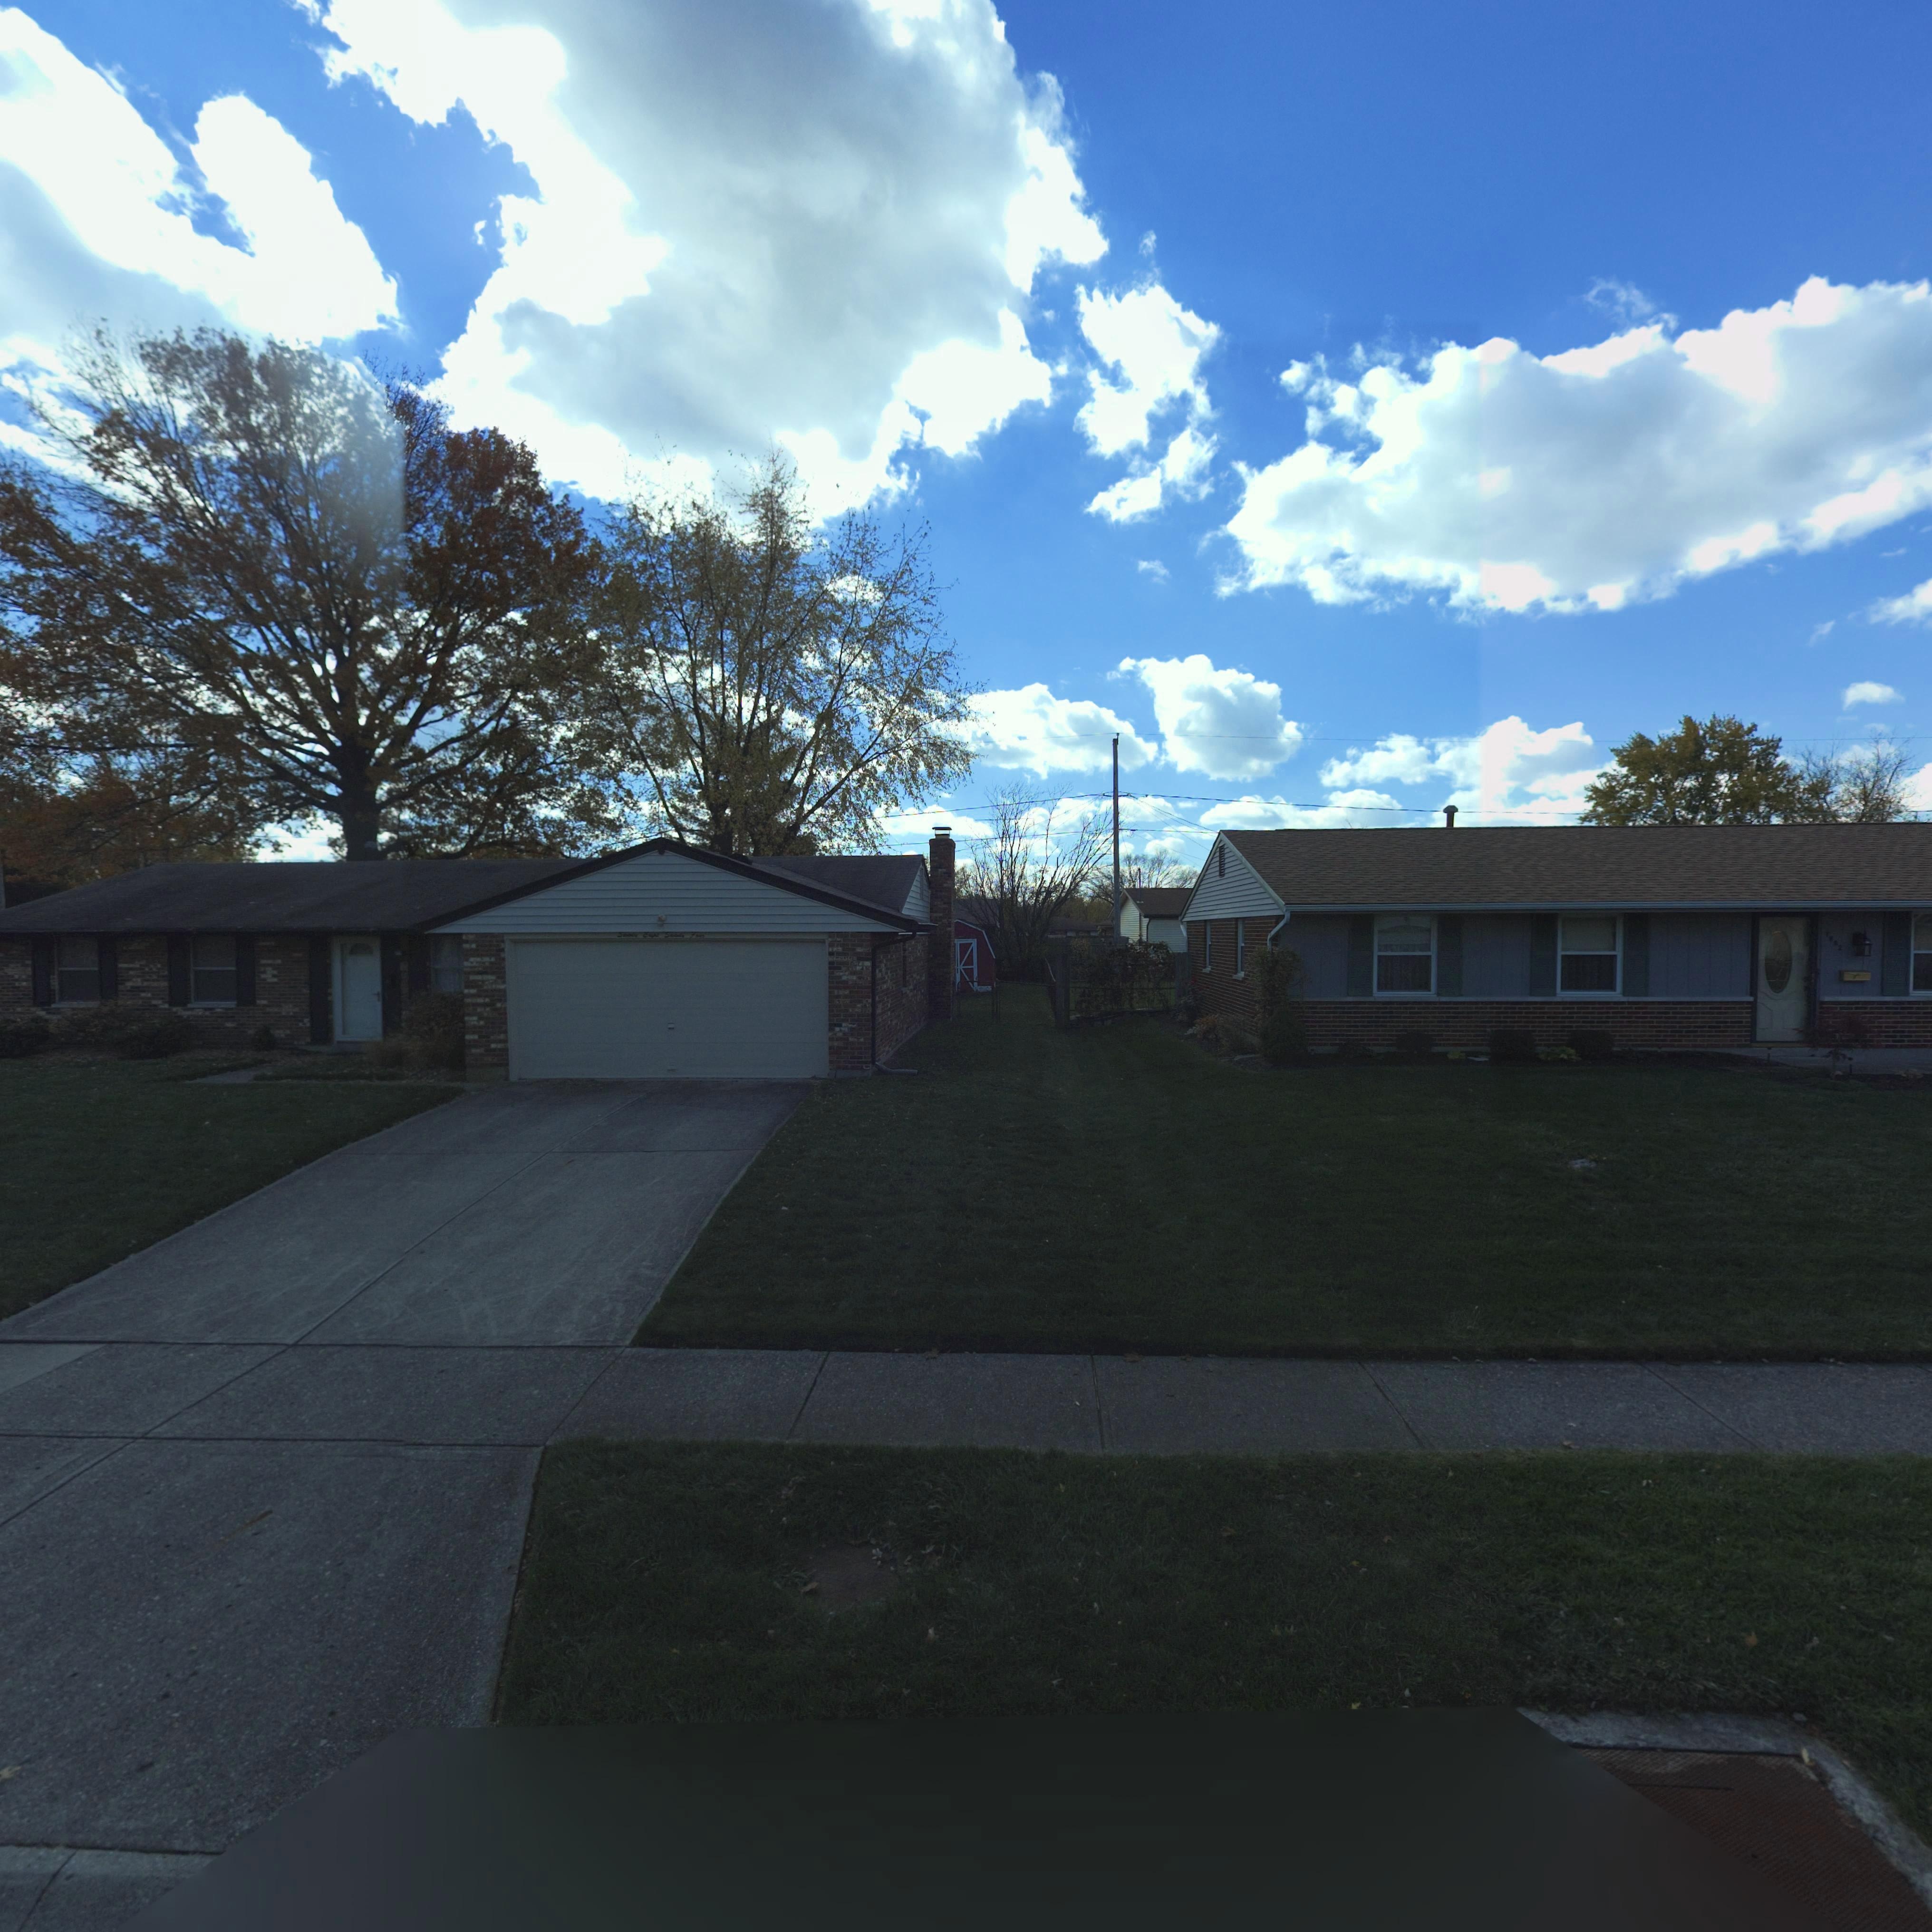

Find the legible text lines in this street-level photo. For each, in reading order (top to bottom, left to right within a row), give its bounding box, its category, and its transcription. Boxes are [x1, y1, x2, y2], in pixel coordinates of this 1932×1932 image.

[617, 931, 705, 938] StreetNumber: Seventy Eight Seventy Four
[1825, 931, 1843, 951] StreetNumber: 7882